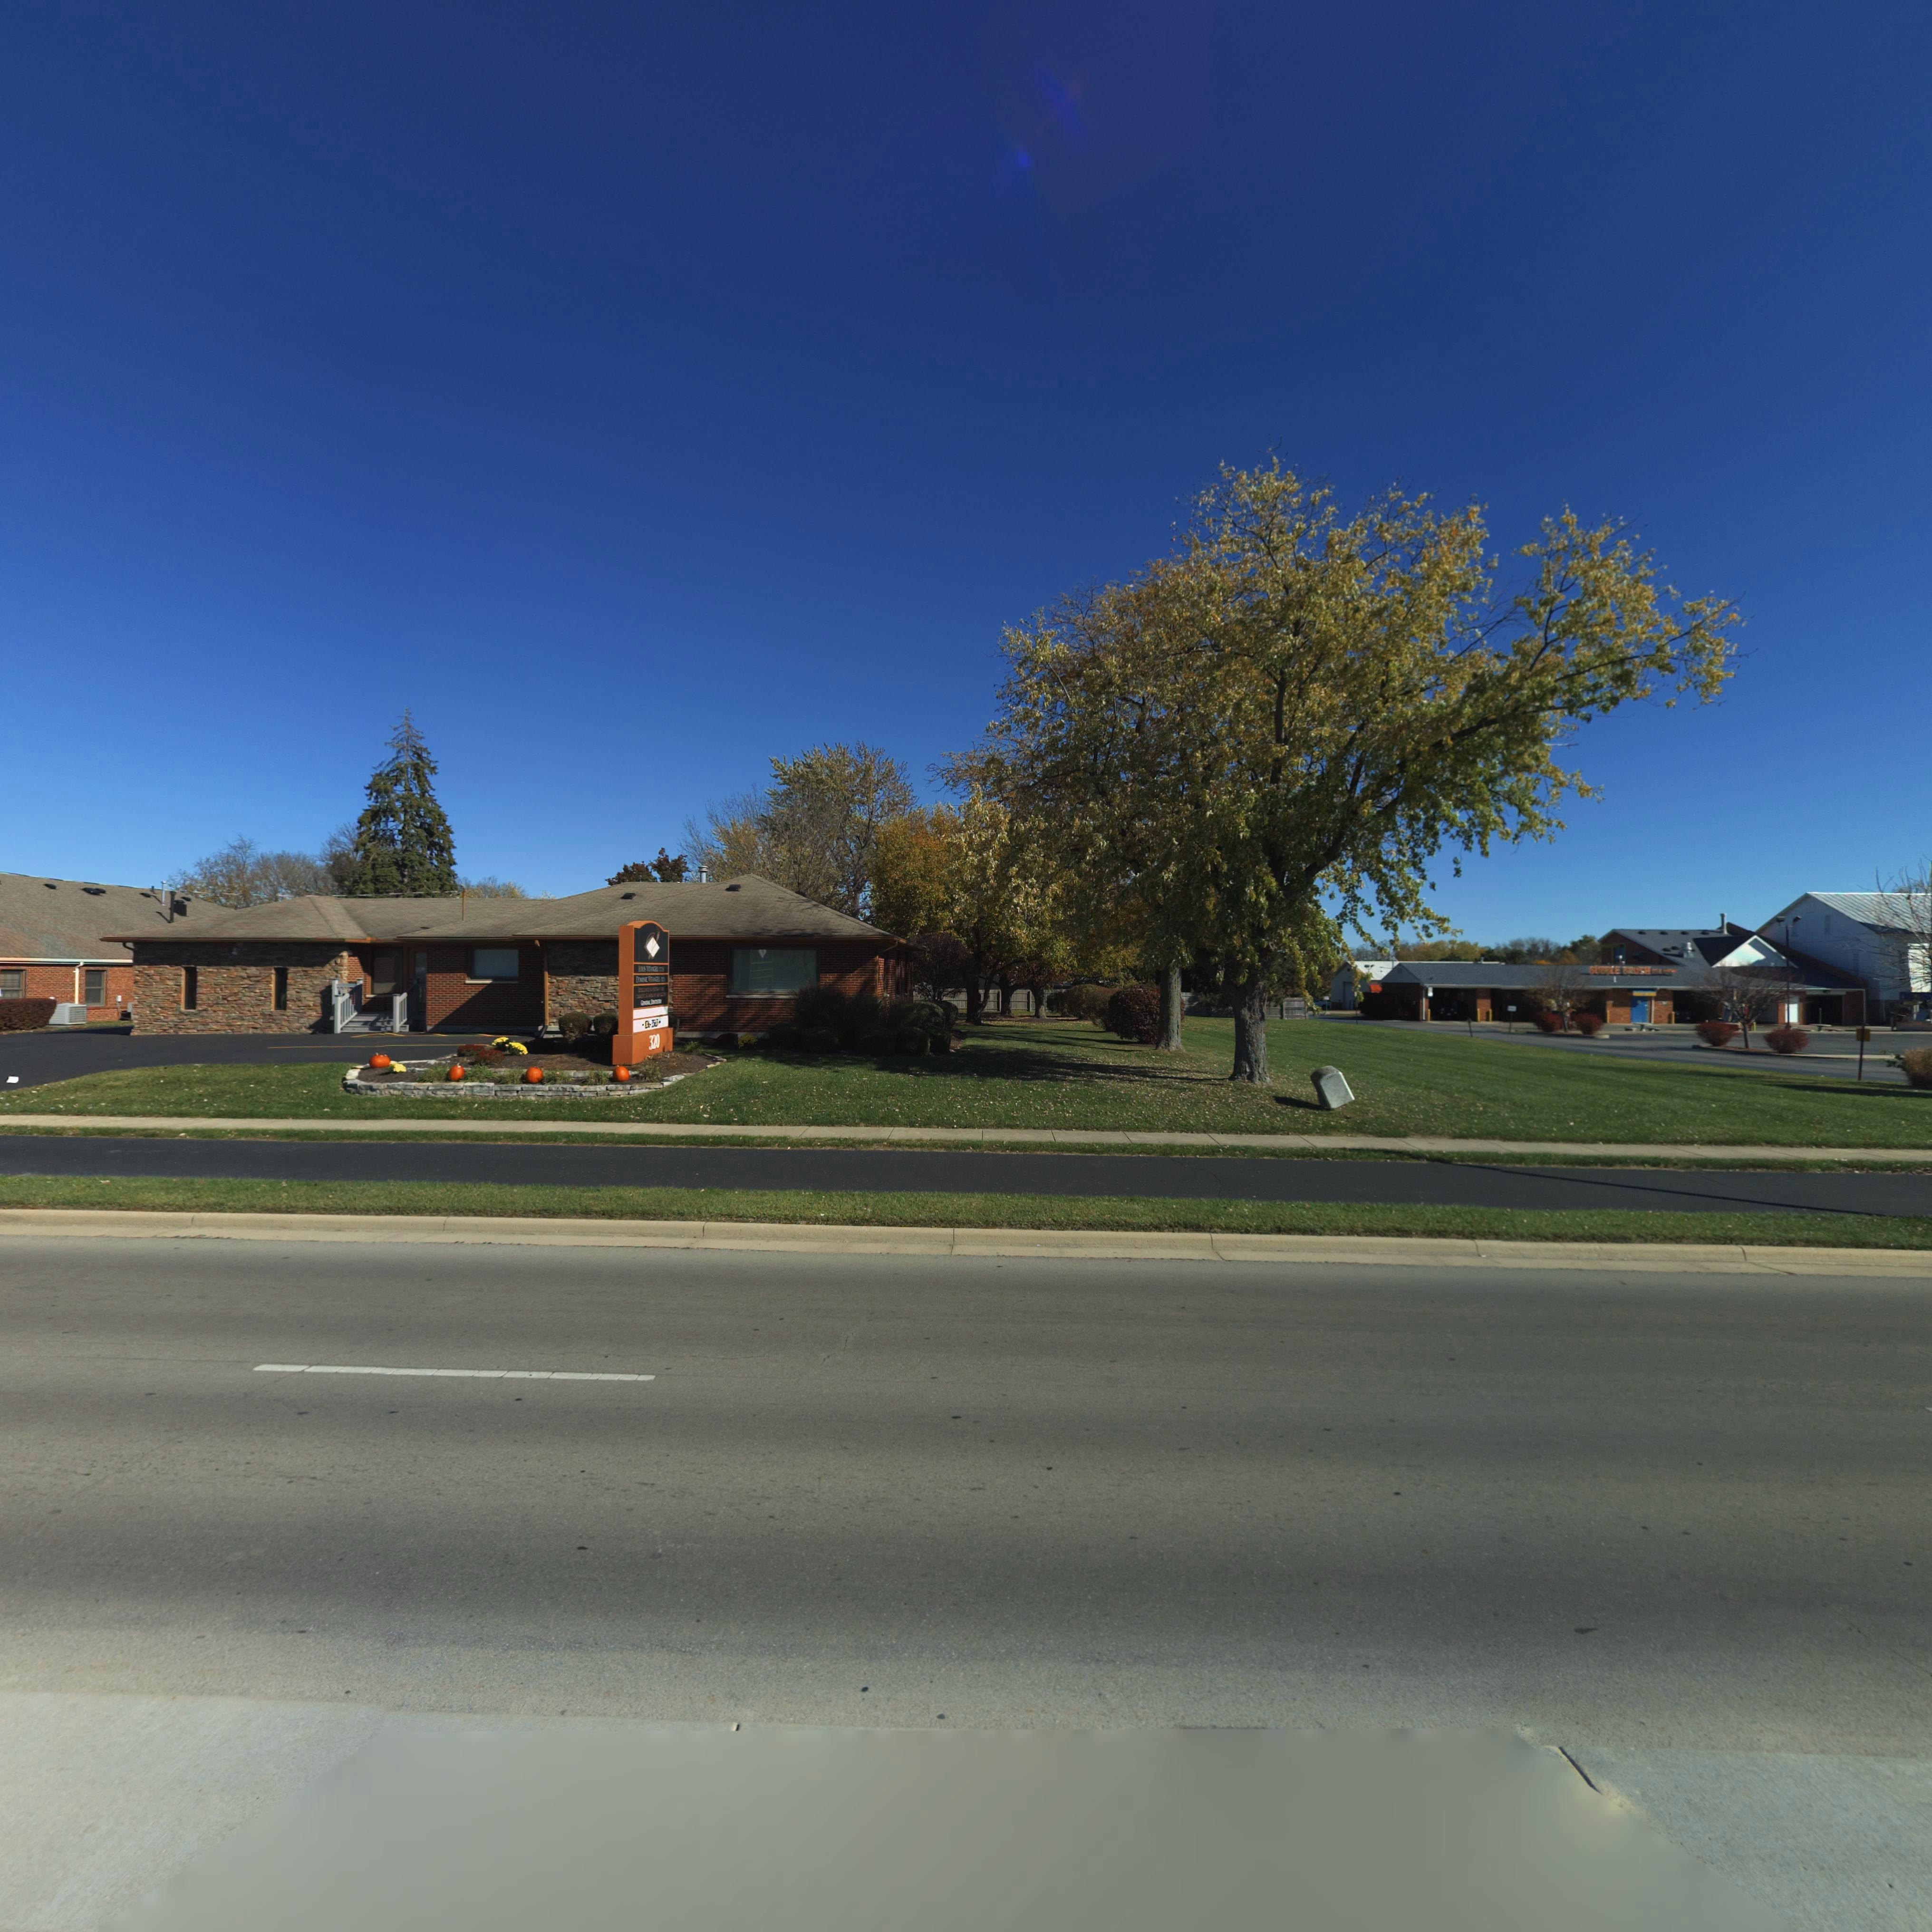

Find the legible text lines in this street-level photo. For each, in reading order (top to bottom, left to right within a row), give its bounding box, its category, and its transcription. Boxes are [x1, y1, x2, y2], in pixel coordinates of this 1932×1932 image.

[638, 965, 647, 973] None: *OU*S
[1587, 965, 1652, 976] BusinessName: *UBBLE BRUSH
[635, 976, 641, 984] None: DO
[647, 1033, 661, 1052] StreetNumber: 320